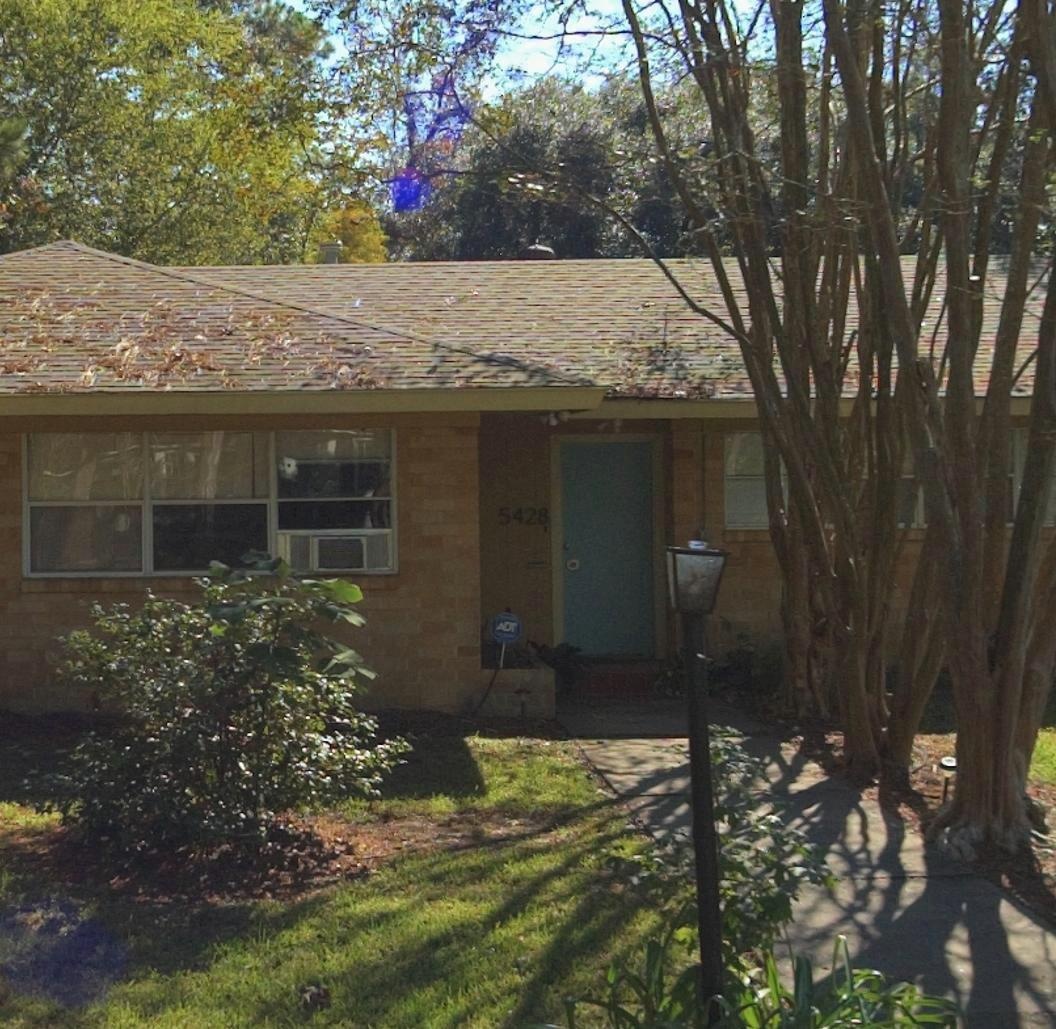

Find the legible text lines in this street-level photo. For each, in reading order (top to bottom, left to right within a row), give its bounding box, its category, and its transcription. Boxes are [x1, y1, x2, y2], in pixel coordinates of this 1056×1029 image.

[497, 505, 550, 527] StreetNumber: 5428
[493, 619, 519, 634] None: ADT